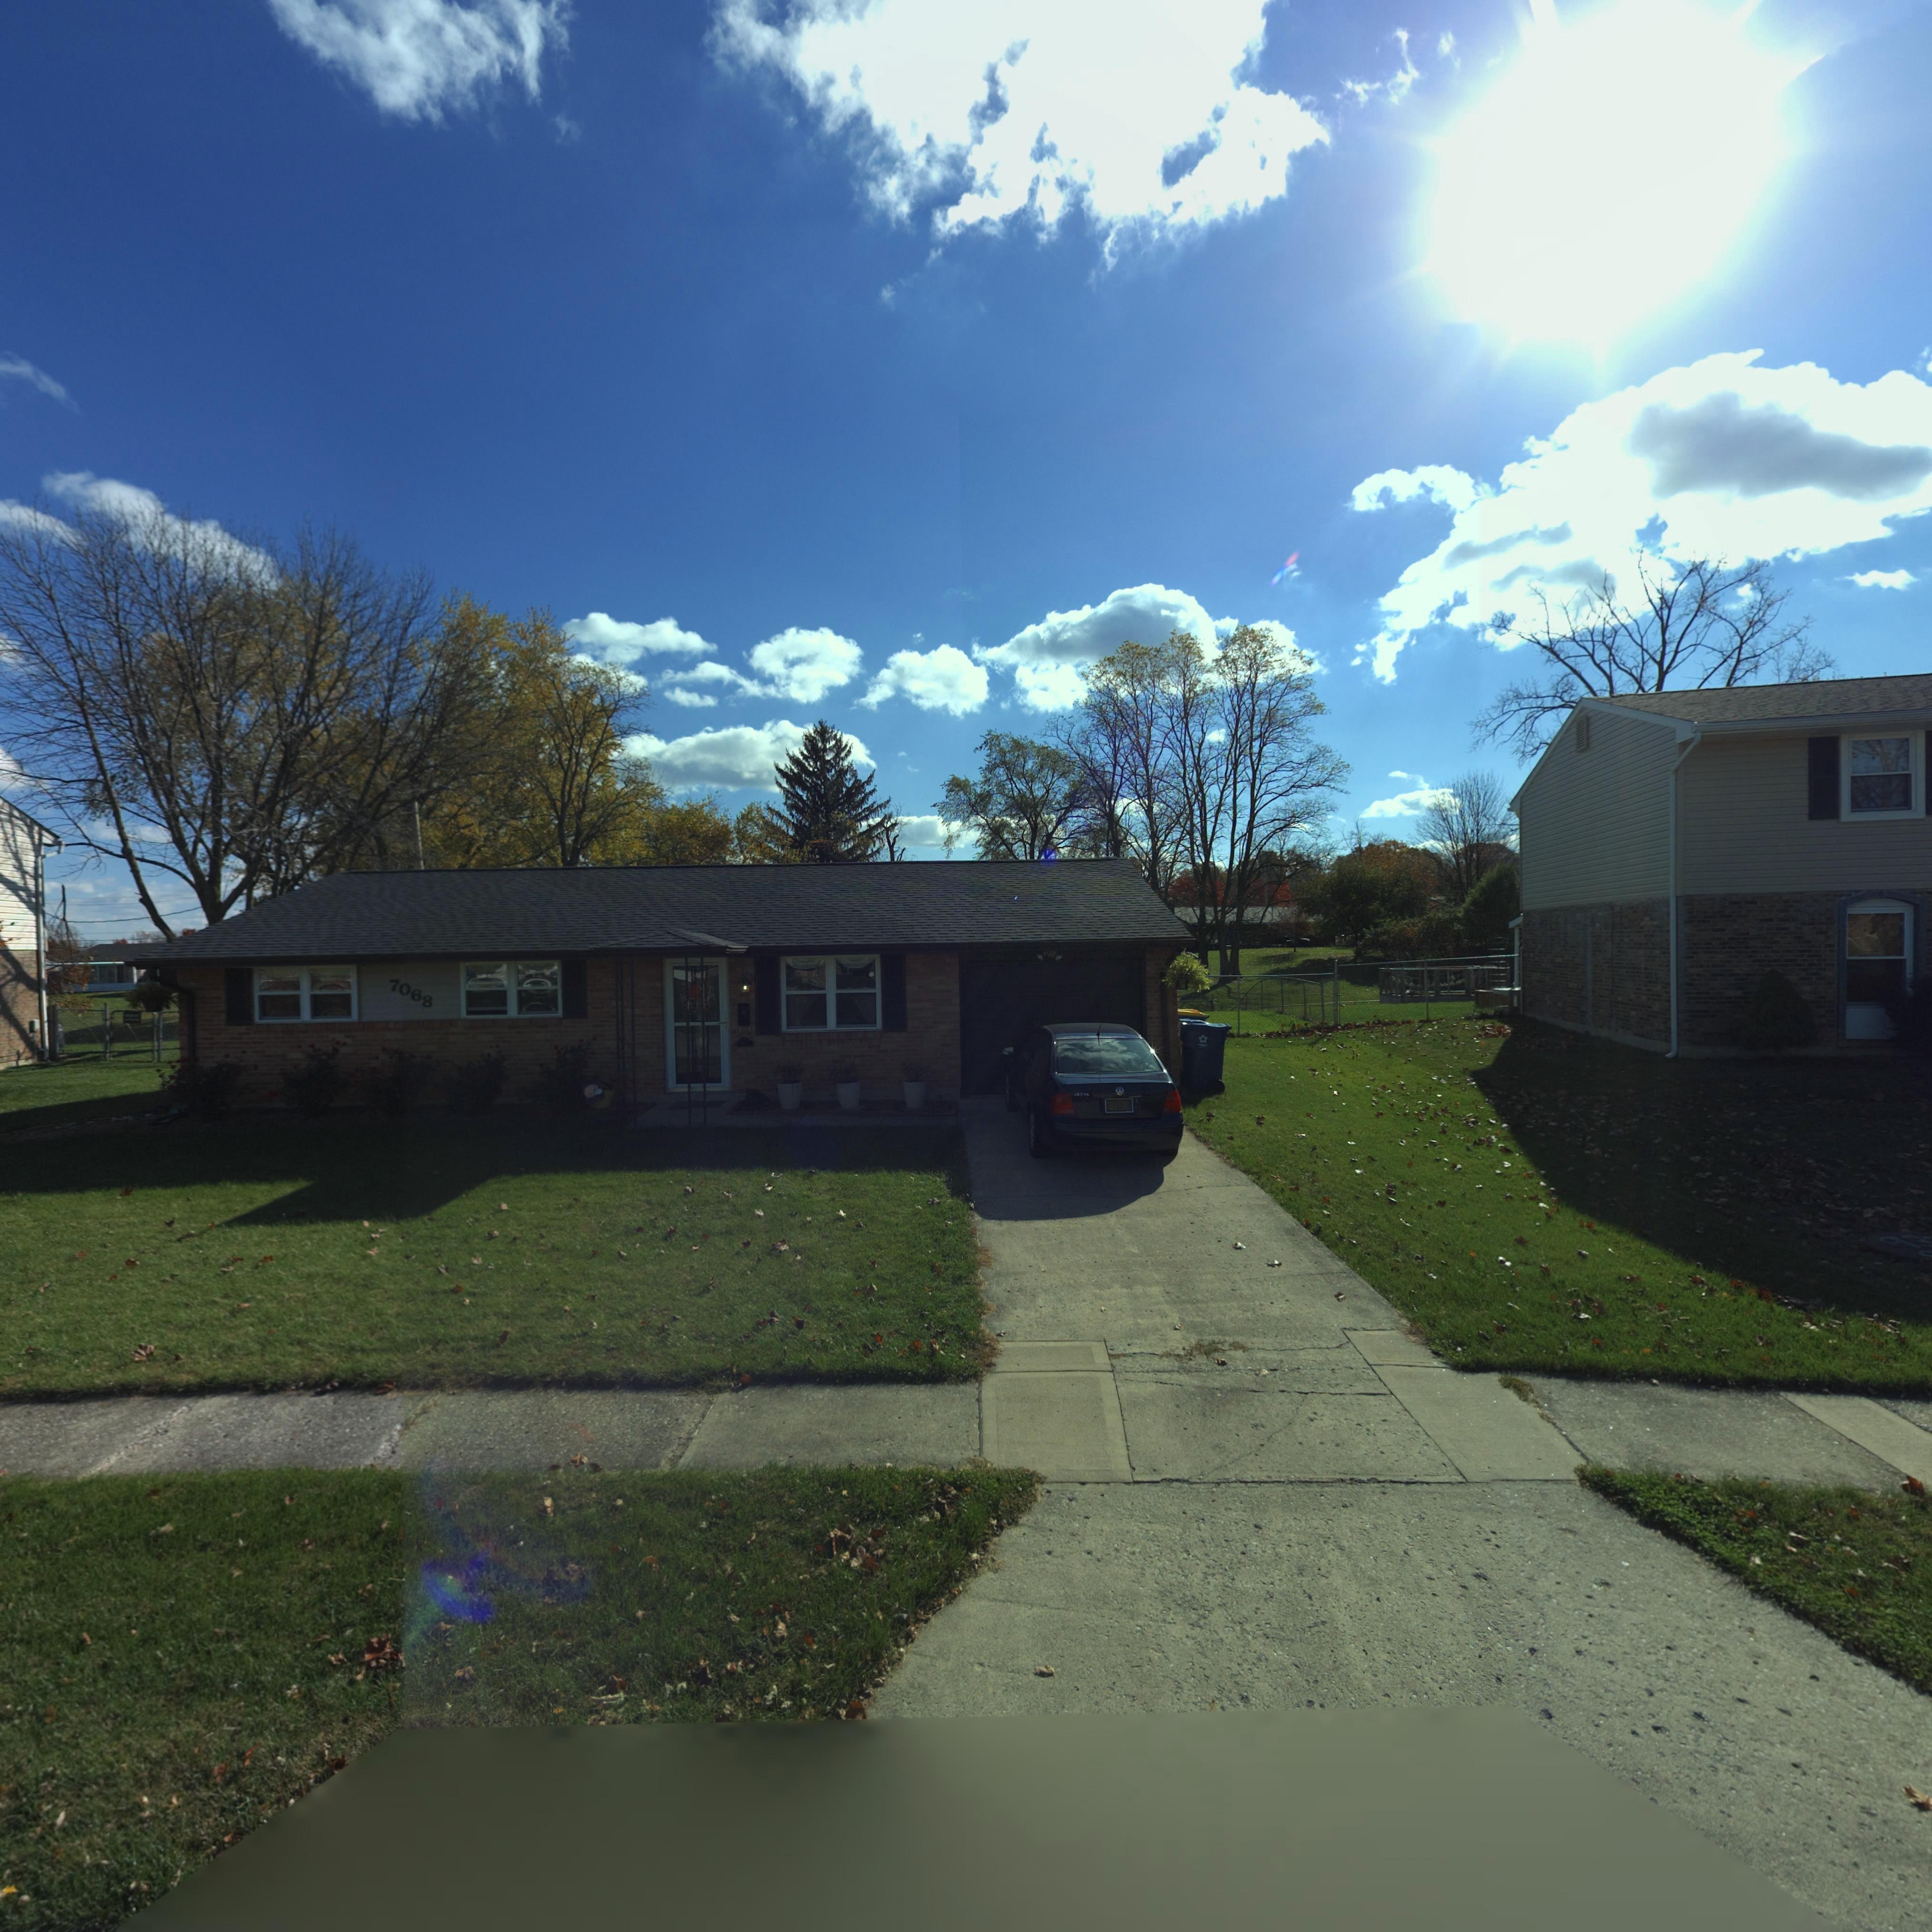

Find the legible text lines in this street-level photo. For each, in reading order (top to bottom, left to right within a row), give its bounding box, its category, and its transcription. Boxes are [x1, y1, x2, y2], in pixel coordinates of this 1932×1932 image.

[388, 977, 435, 1010] StreetNumber: 7068